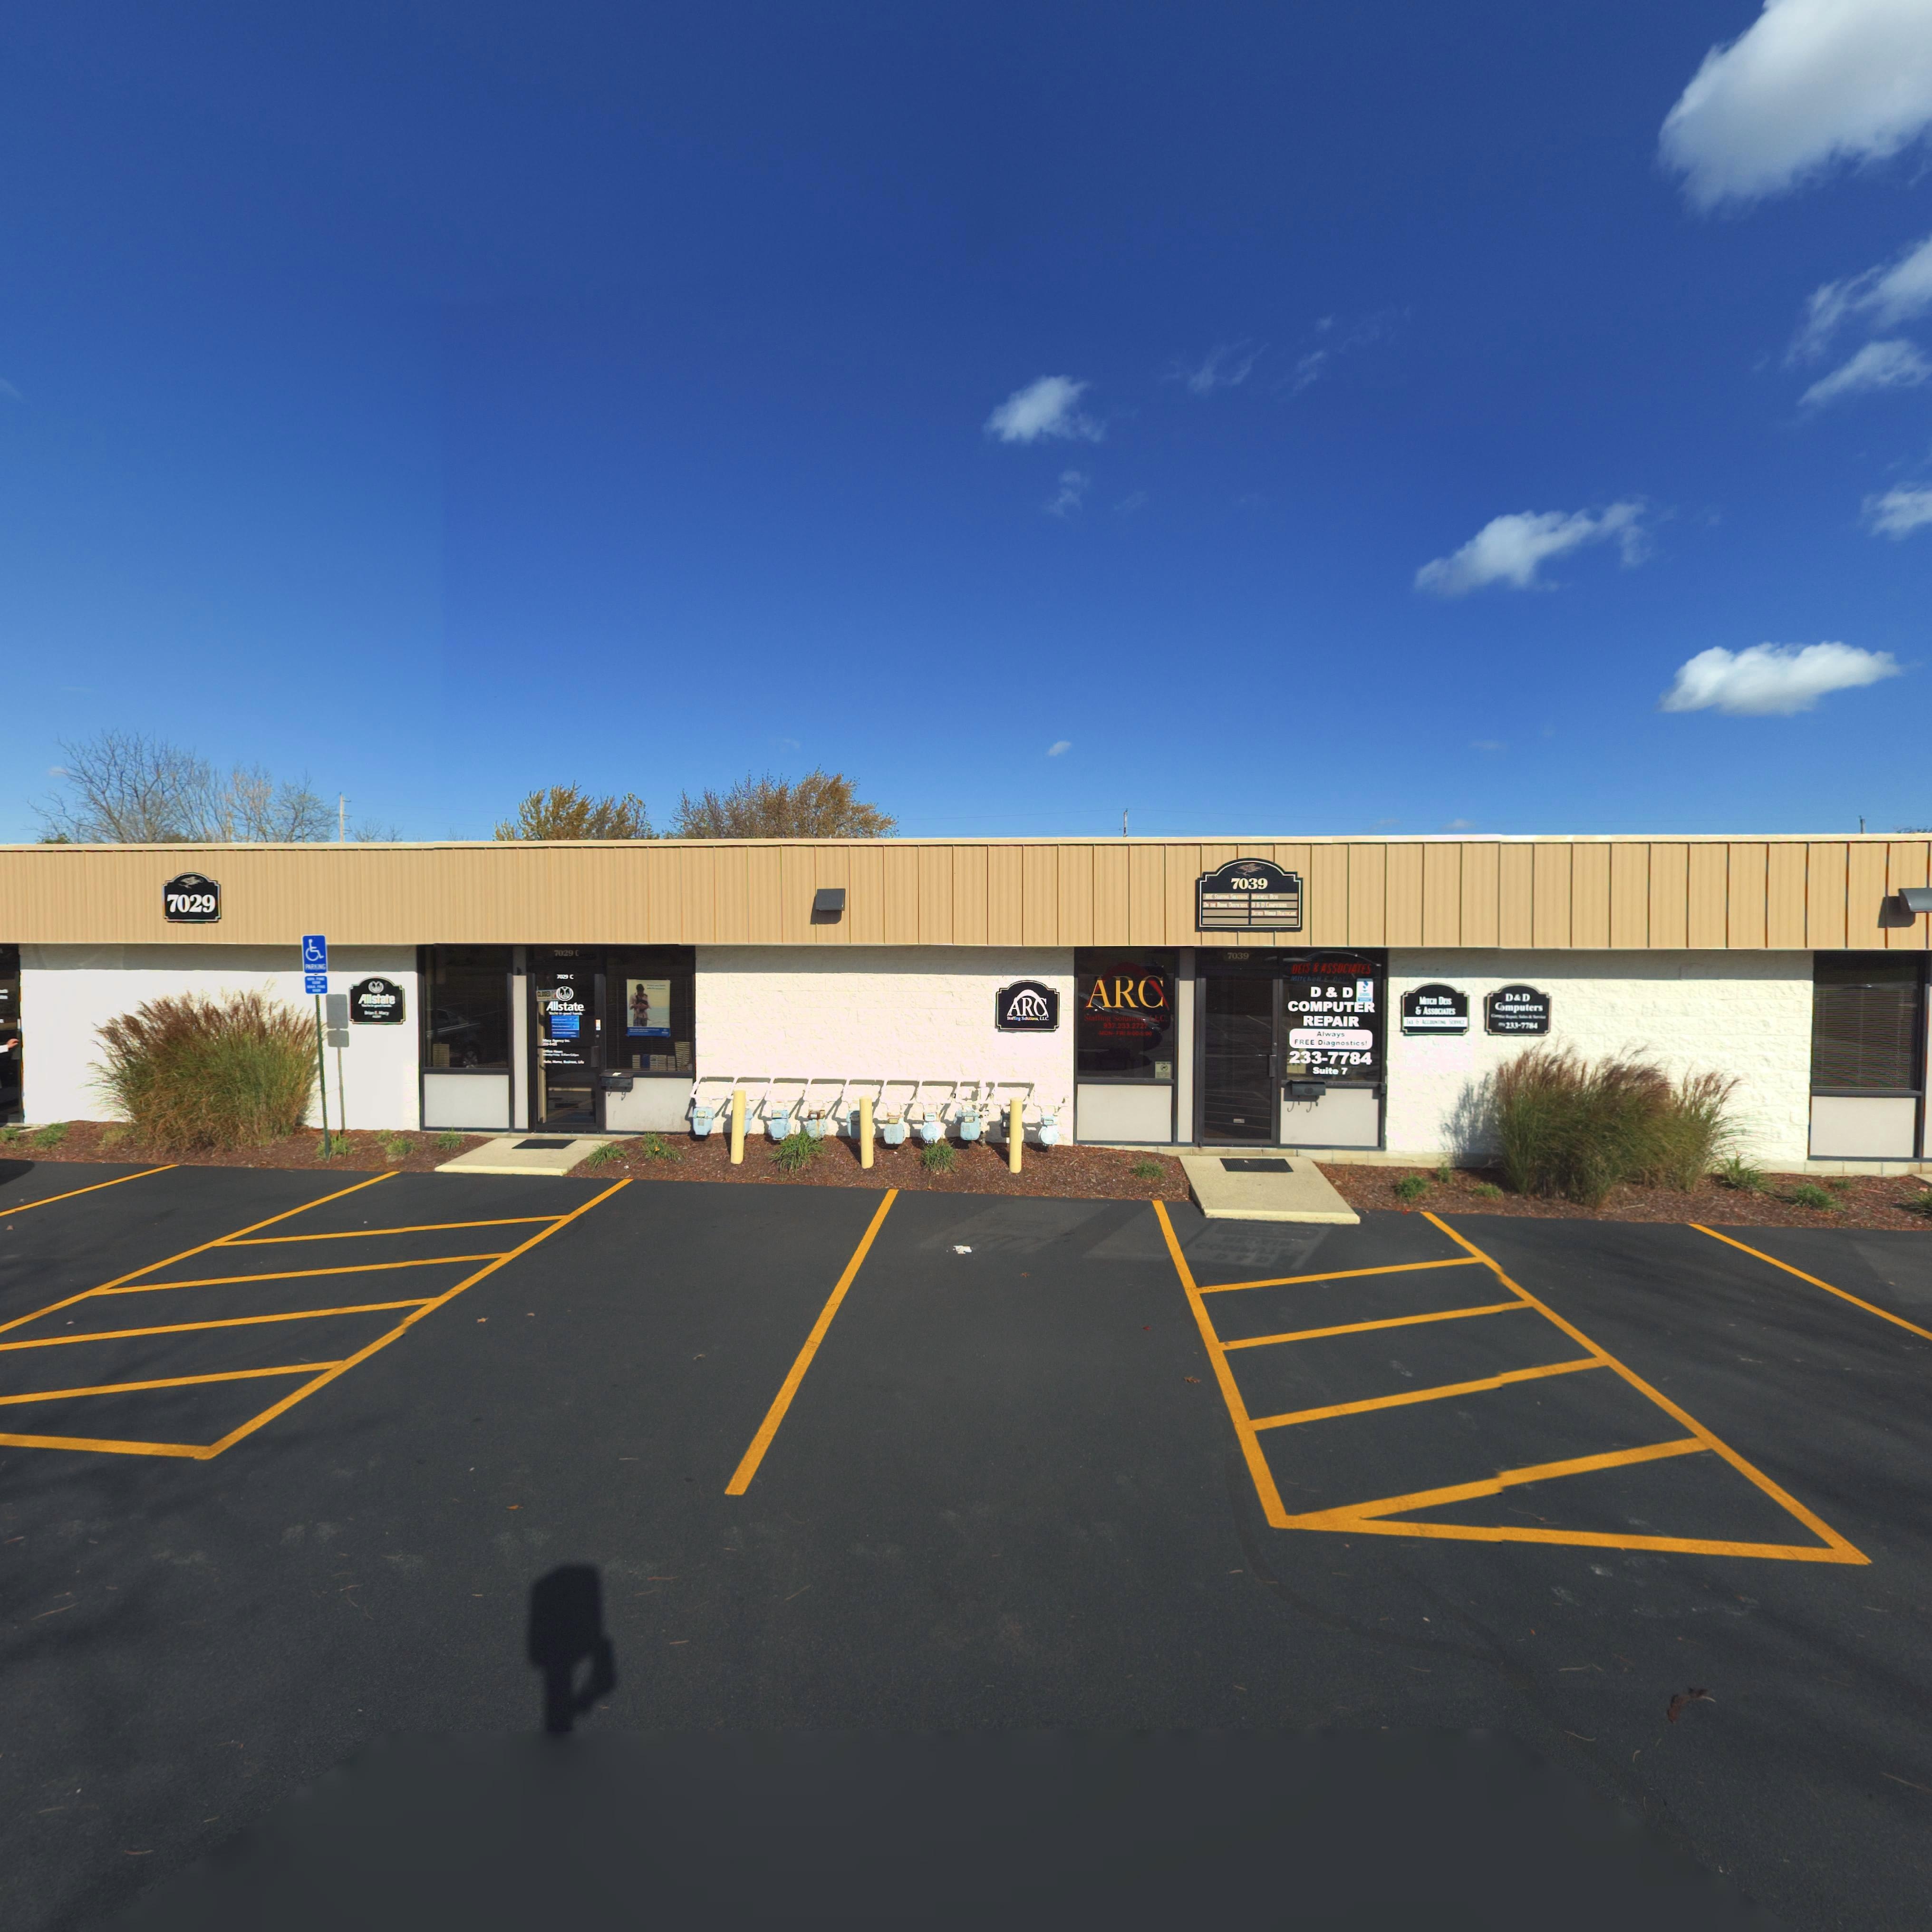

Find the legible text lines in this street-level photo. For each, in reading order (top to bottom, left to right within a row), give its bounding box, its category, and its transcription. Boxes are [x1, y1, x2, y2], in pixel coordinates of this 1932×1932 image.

[1229, 876, 1270, 891] StreetNumber: 7039
[165, 892, 217, 915] StreetNumber: 7029
[552, 948, 580, 958] StreetNumber: 7029
[1226, 951, 1251, 961] StreetNumber: 7039
[555, 973, 575, 981] StreetNumber: 7029 C